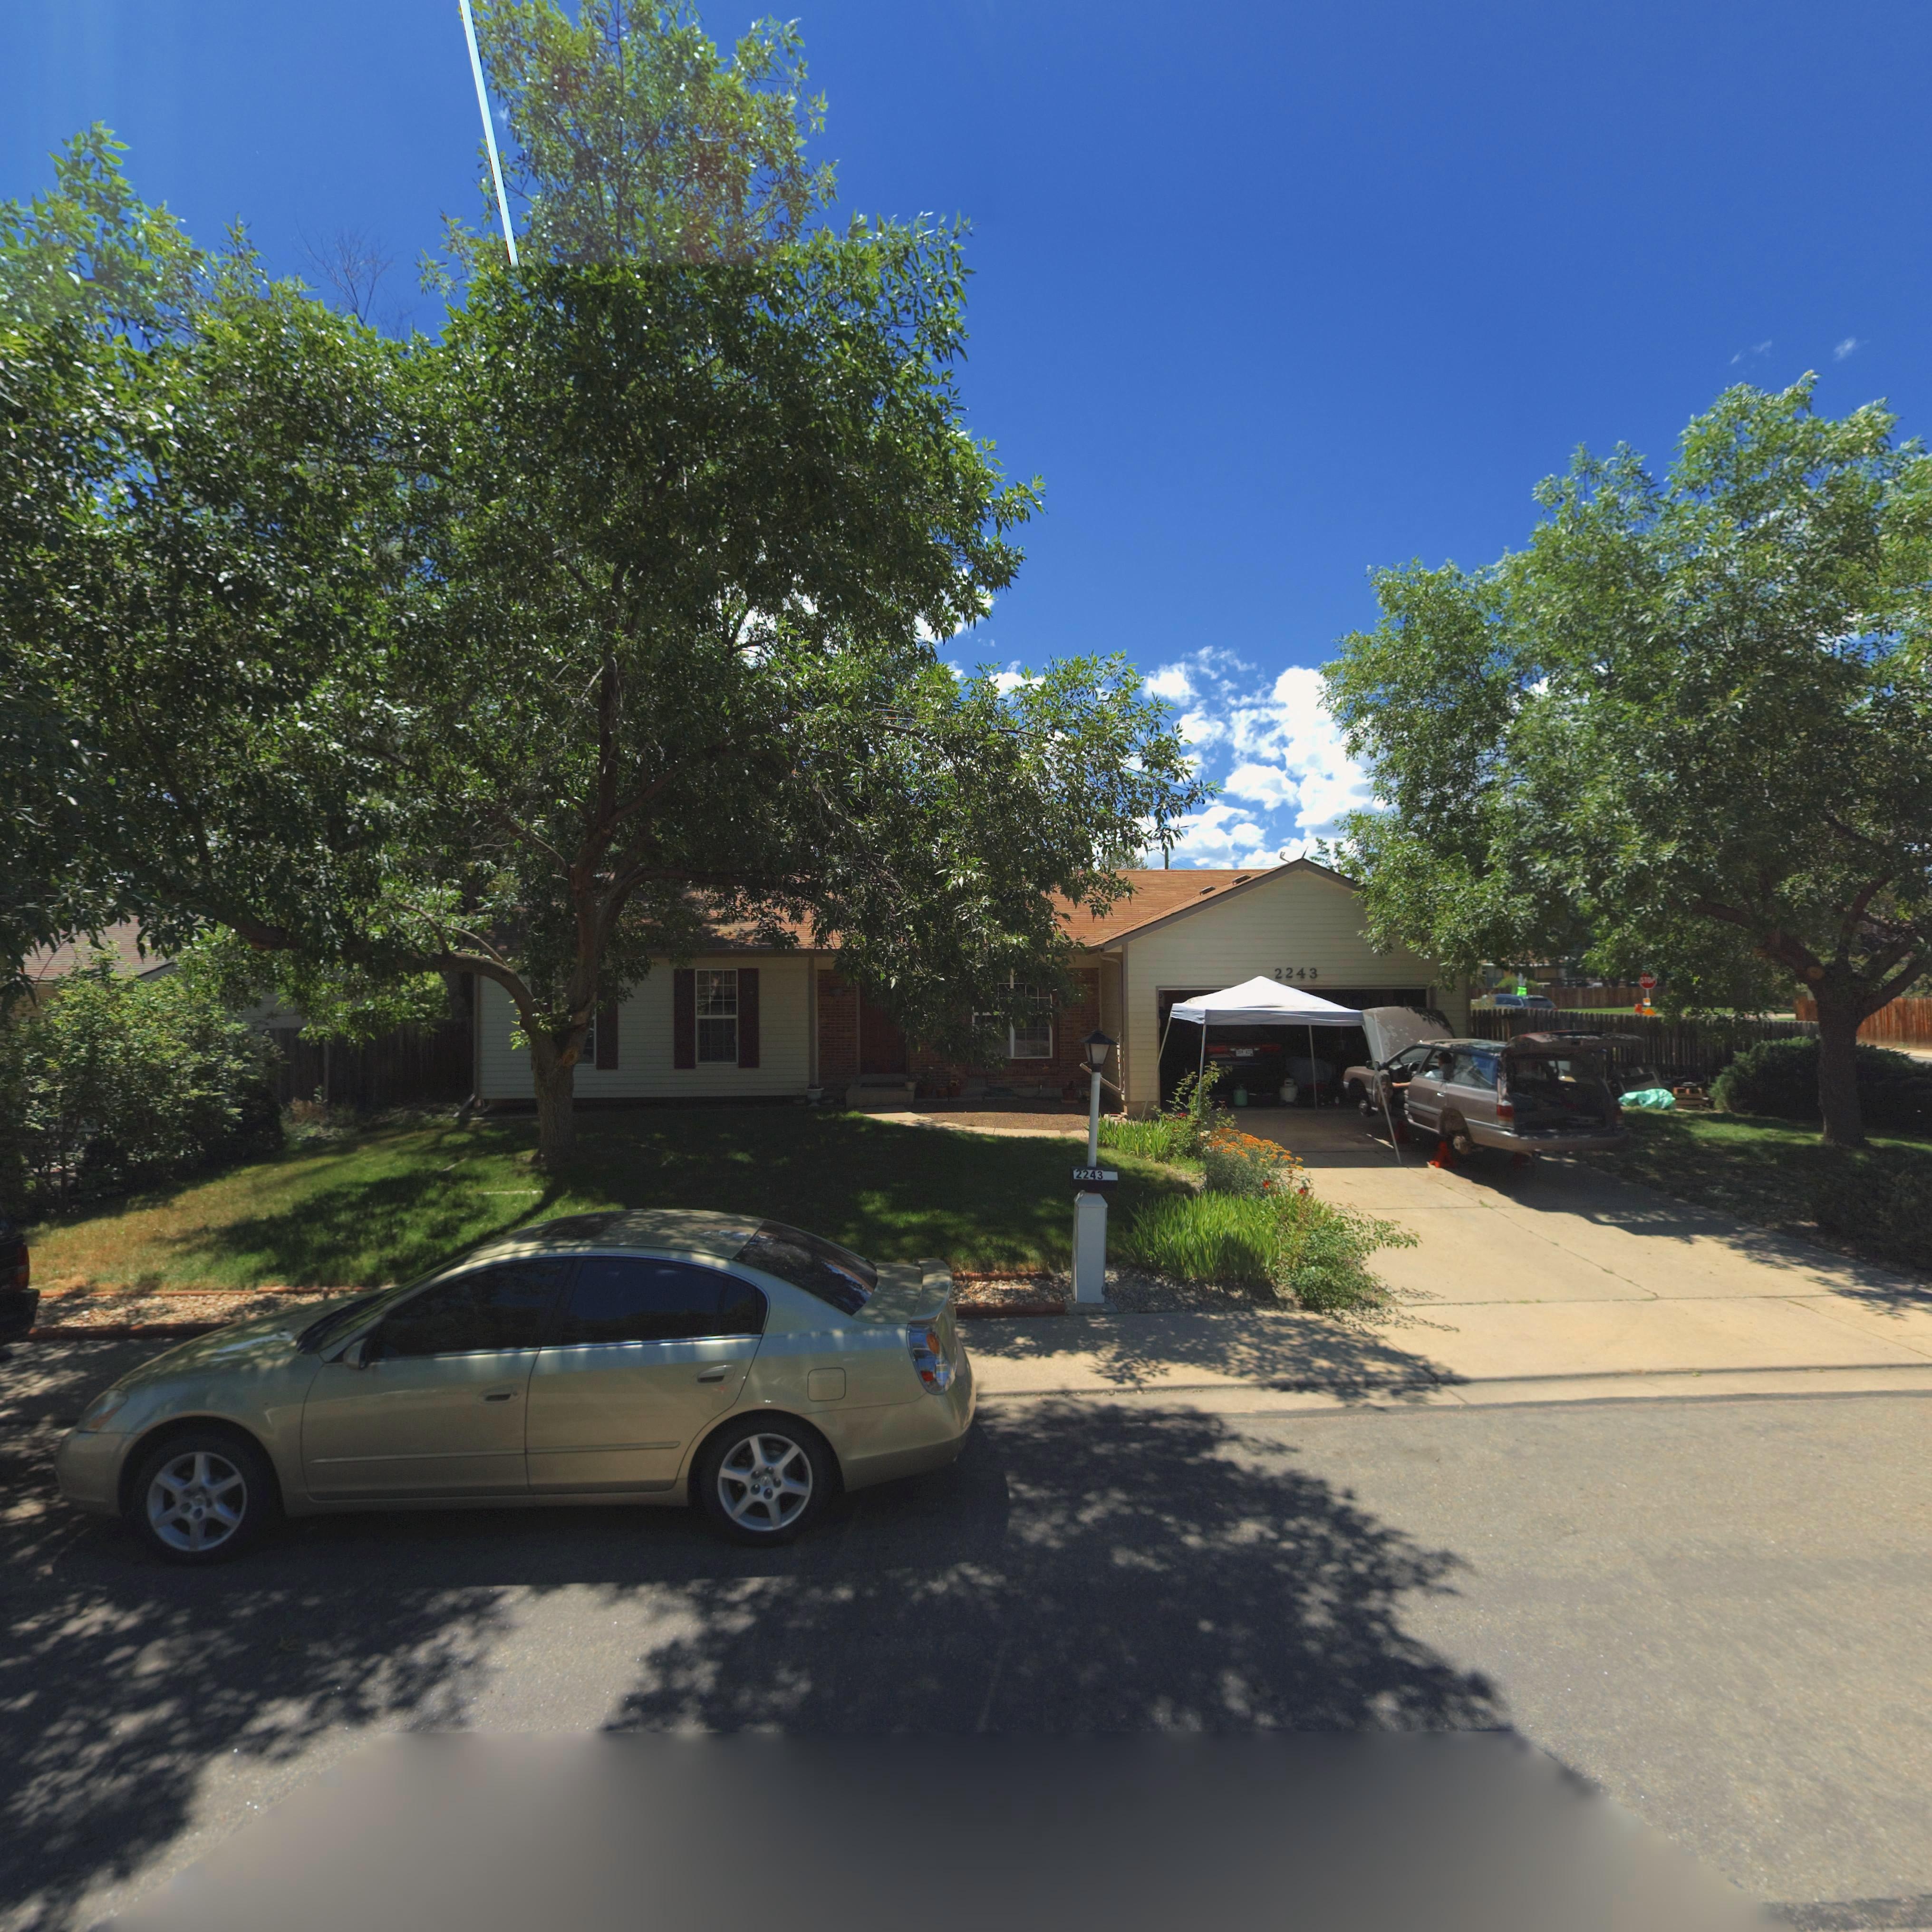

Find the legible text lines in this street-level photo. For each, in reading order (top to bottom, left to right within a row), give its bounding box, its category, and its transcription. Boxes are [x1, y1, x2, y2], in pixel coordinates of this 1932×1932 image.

[1274, 966, 1318, 979] StreetNumber: 2243
[1075, 1169, 1103, 1180] StreetNumber: 2243